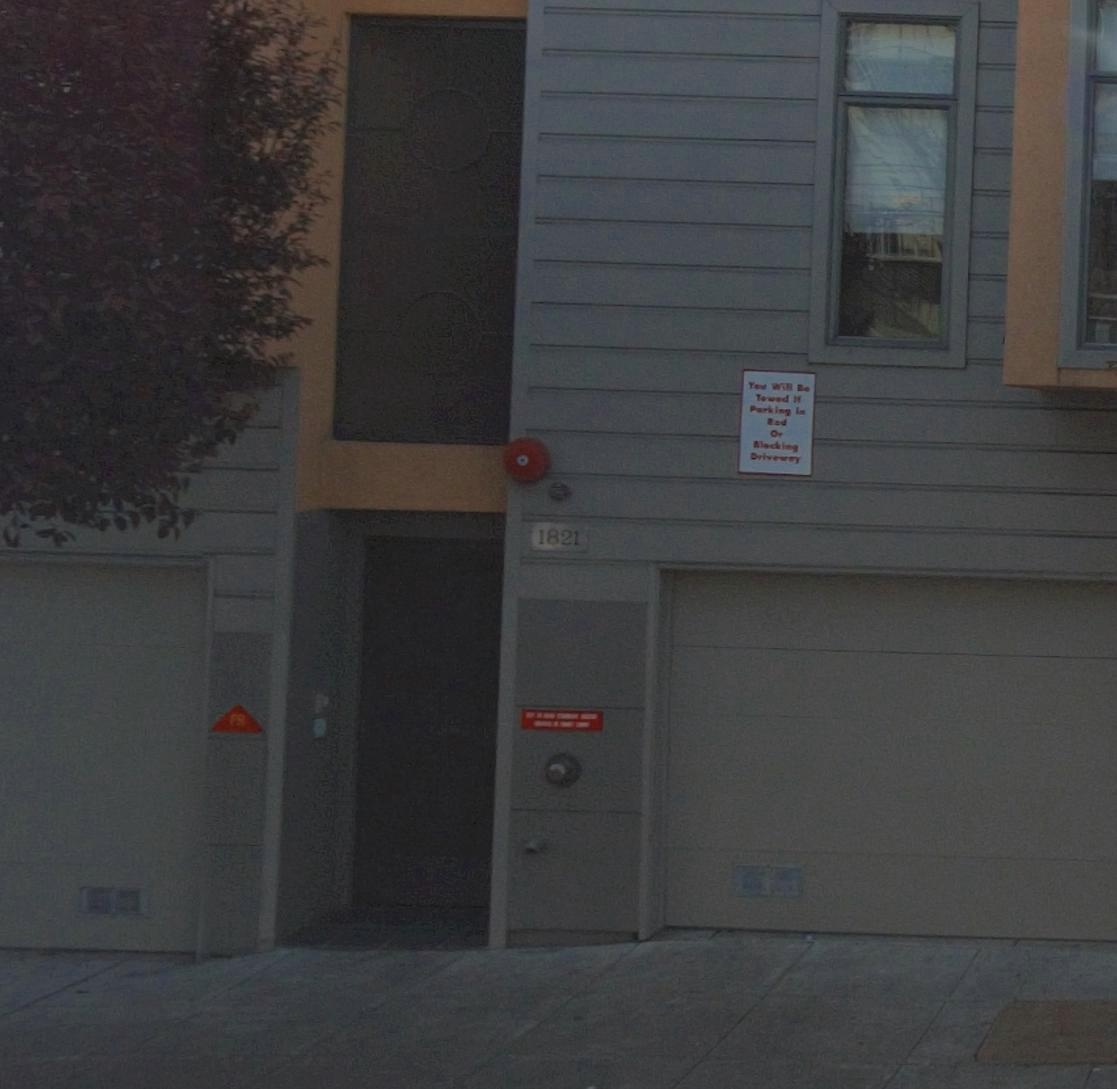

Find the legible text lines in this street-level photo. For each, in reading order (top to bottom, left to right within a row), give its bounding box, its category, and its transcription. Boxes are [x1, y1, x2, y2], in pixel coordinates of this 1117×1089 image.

[746, 378, 813, 394] None: You Will Be
[753, 390, 805, 406] None: Towed If
[745, 402, 808, 419] None: Parking In
[765, 415, 789, 428] None: Bed
[767, 427, 785, 440] None: Or
[750, 437, 801, 455] None: *locking
[747, 449, 803, 467] None: Delivery
[536, 526, 582, 548] StreetNumber: 1821